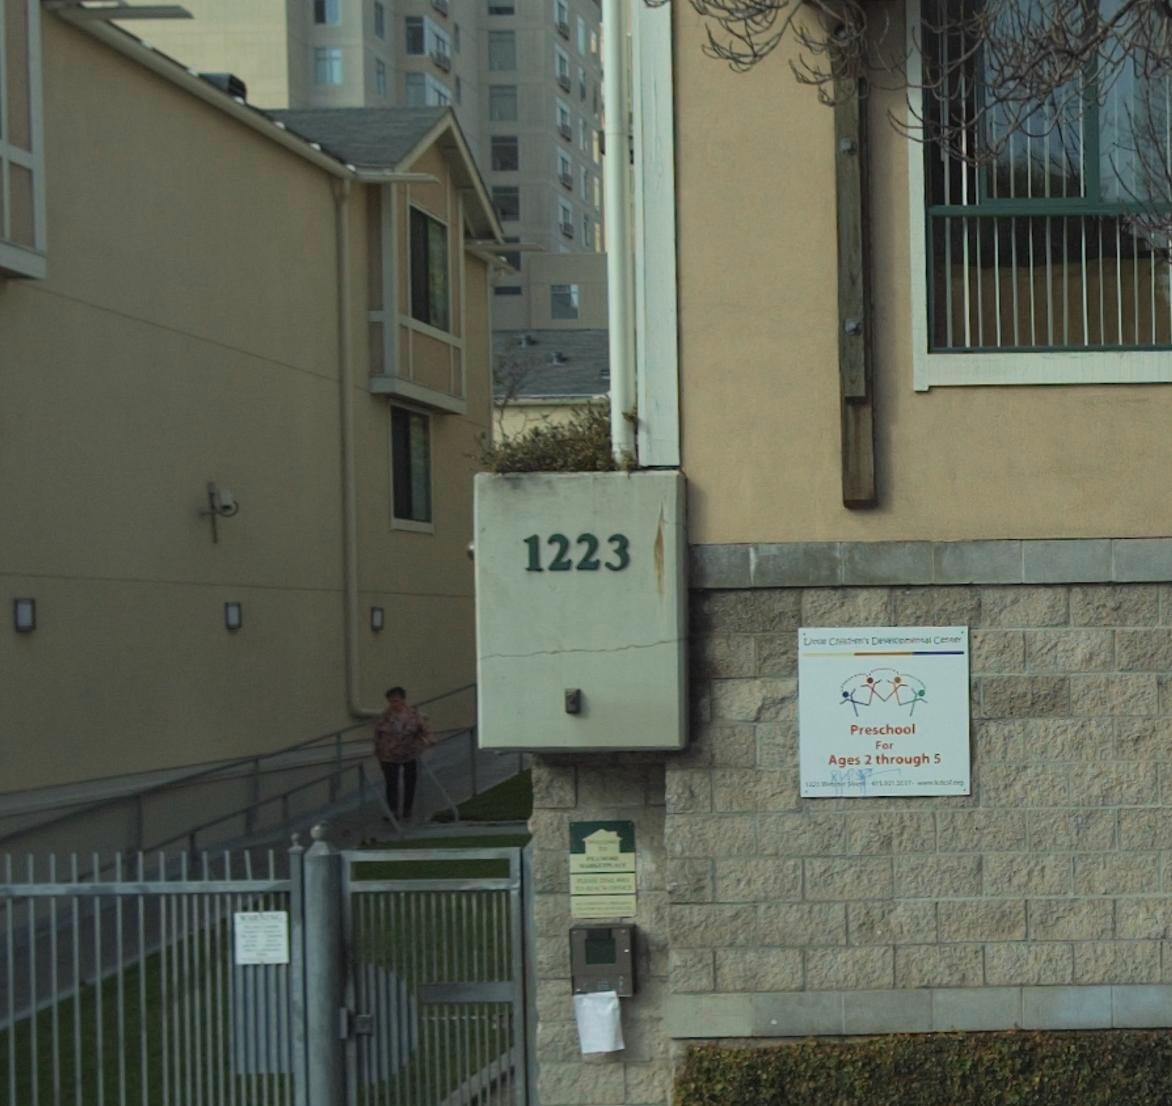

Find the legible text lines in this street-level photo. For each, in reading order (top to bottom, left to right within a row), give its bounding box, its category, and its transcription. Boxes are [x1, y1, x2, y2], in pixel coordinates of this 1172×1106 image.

[520, 530, 632, 573] StreetNumber: 1223
[848, 722, 917, 737] None: Preschool
[874, 739, 895, 752] None: For
[825, 751, 943, 770] None: Ages 2 through 5